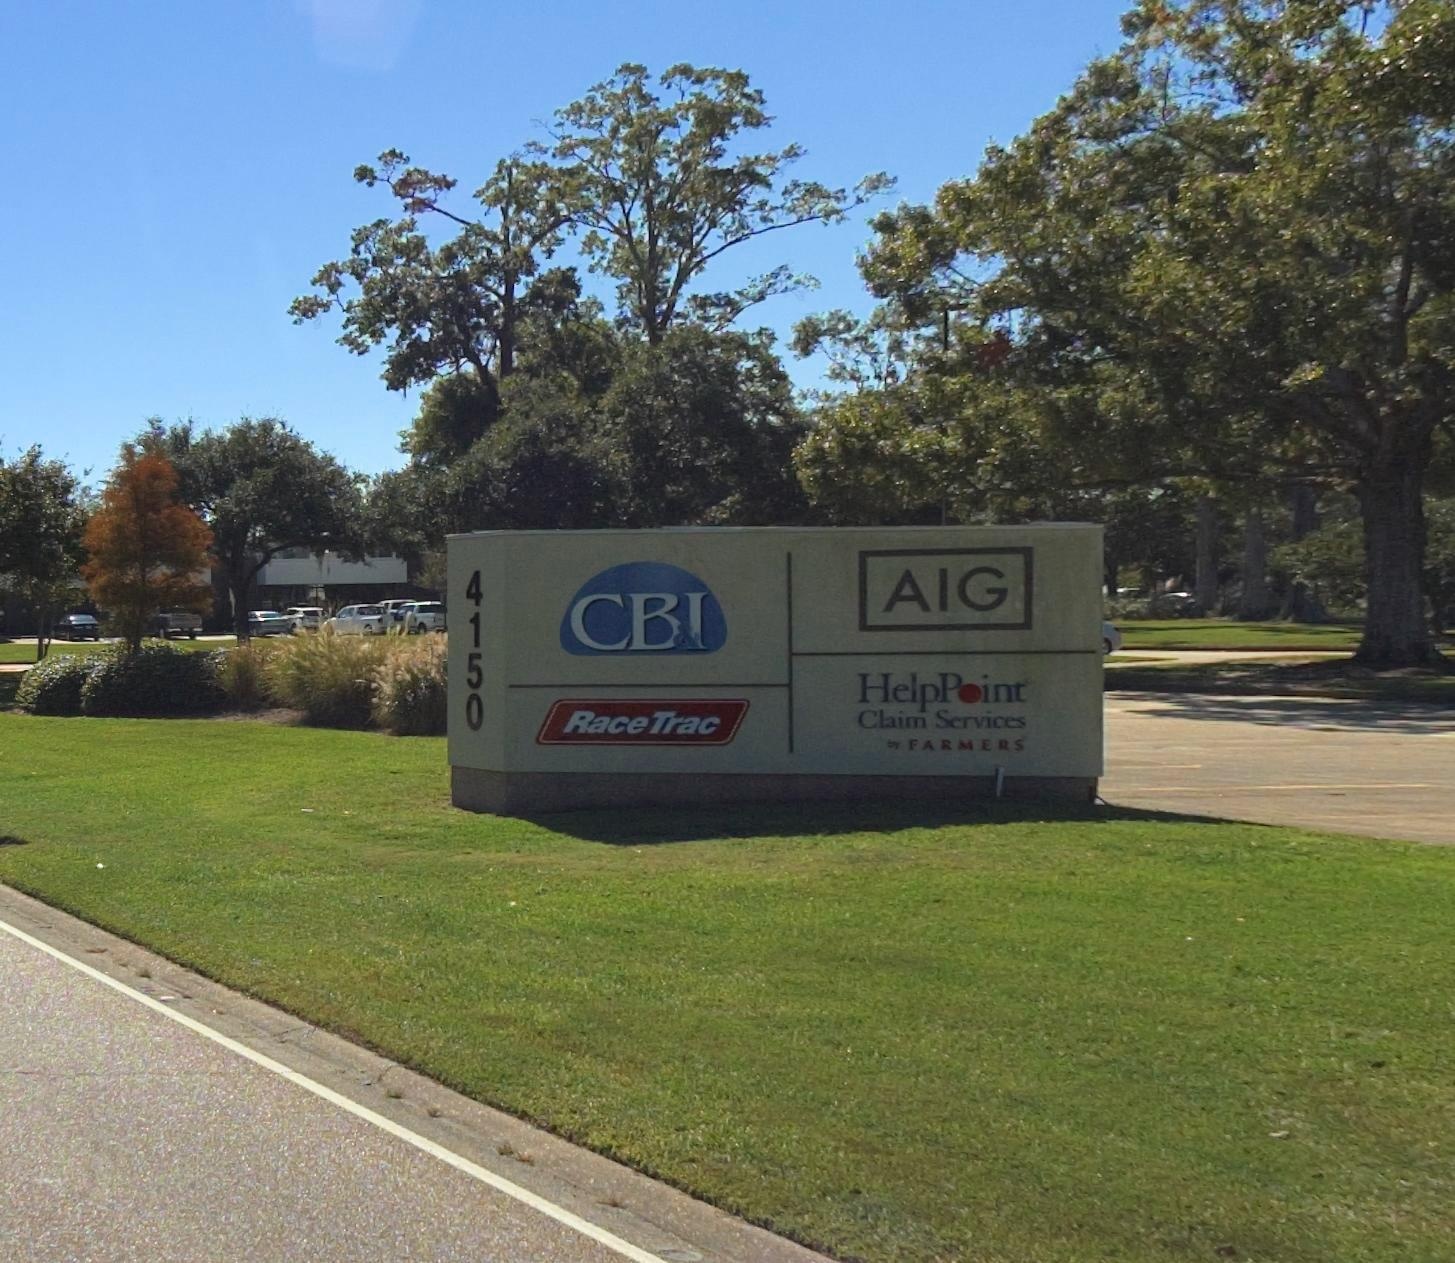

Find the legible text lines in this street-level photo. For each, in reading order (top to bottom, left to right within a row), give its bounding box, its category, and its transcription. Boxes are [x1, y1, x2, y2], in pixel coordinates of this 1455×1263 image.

[878, 562, 1012, 617] BusinessName: AIG
[565, 589, 711, 654] BusinessName: CB&I
[462, 566, 488, 736] StreetNumber: 4150
[854, 668, 1032, 716] BusinessName: HelpP*int
[558, 707, 724, 737] BusinessName: RaceTrac
[854, 706, 1030, 733] None: Claim Services
[883, 736, 1029, 754] None: by FARMERS